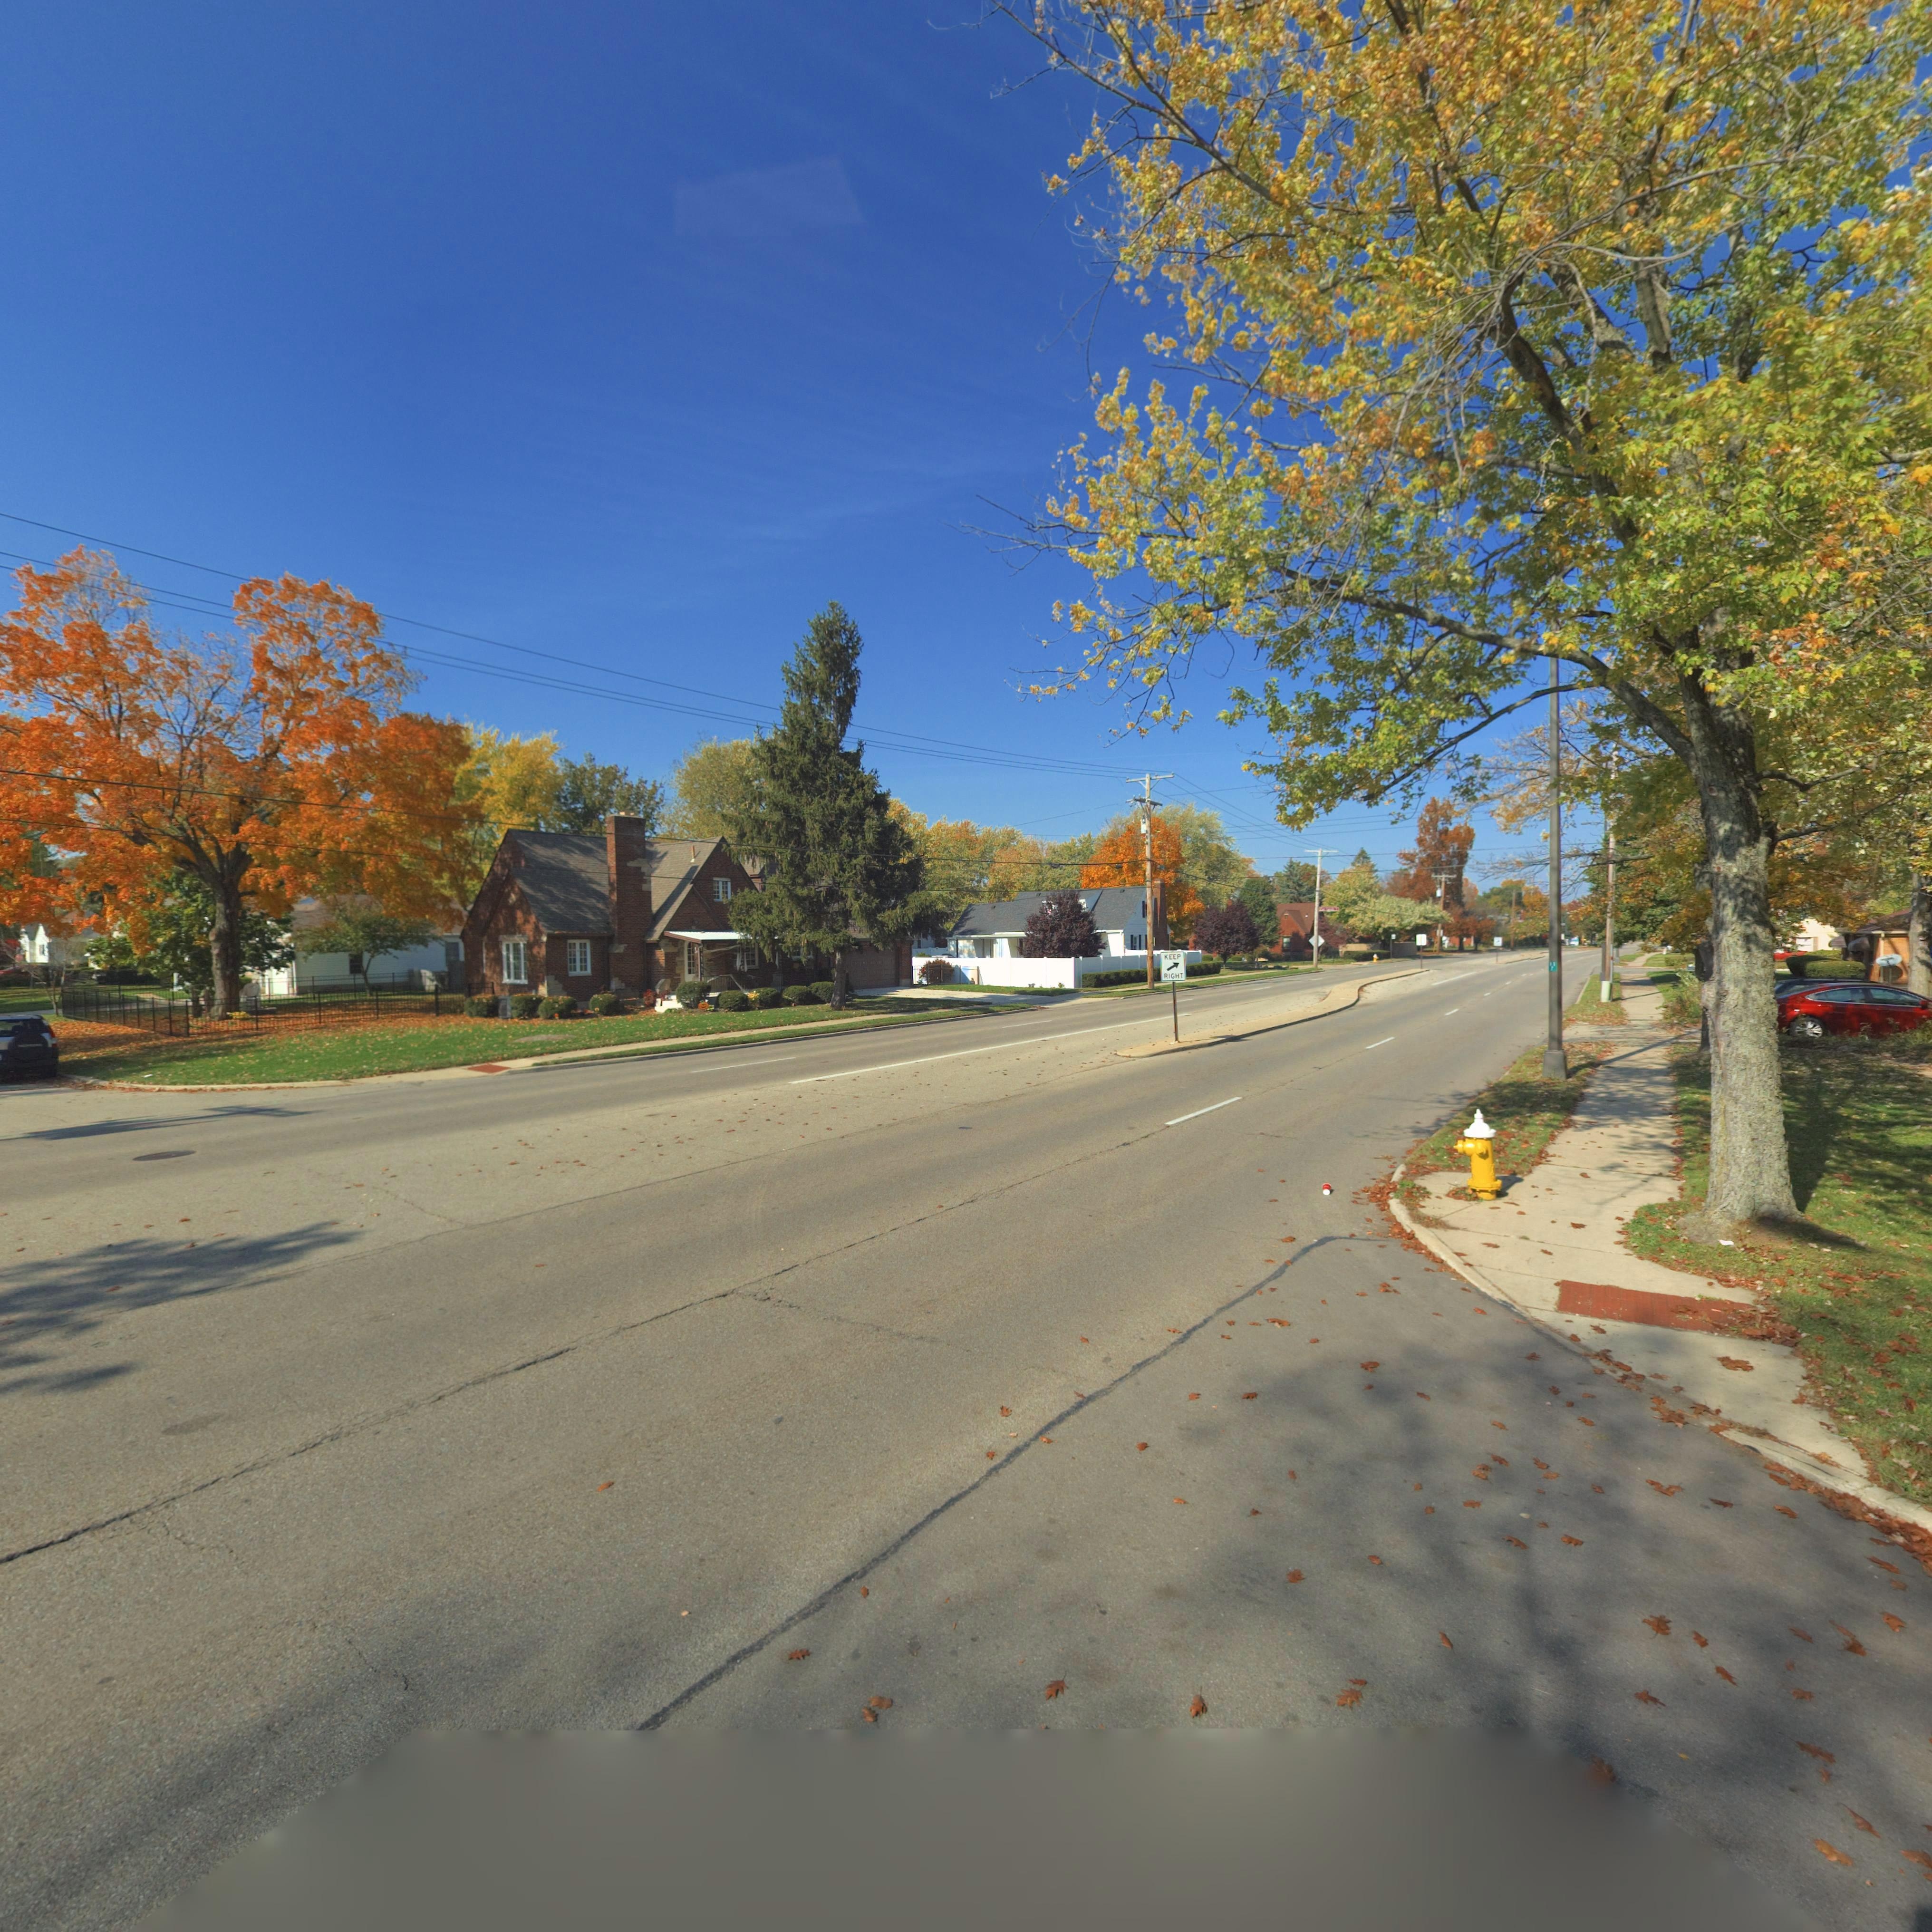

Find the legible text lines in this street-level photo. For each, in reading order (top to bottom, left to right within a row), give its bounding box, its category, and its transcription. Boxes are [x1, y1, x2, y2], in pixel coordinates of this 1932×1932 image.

[1164, 954, 1182, 960] None: KEEP
[1163, 973, 1184, 979] None: RIGHT